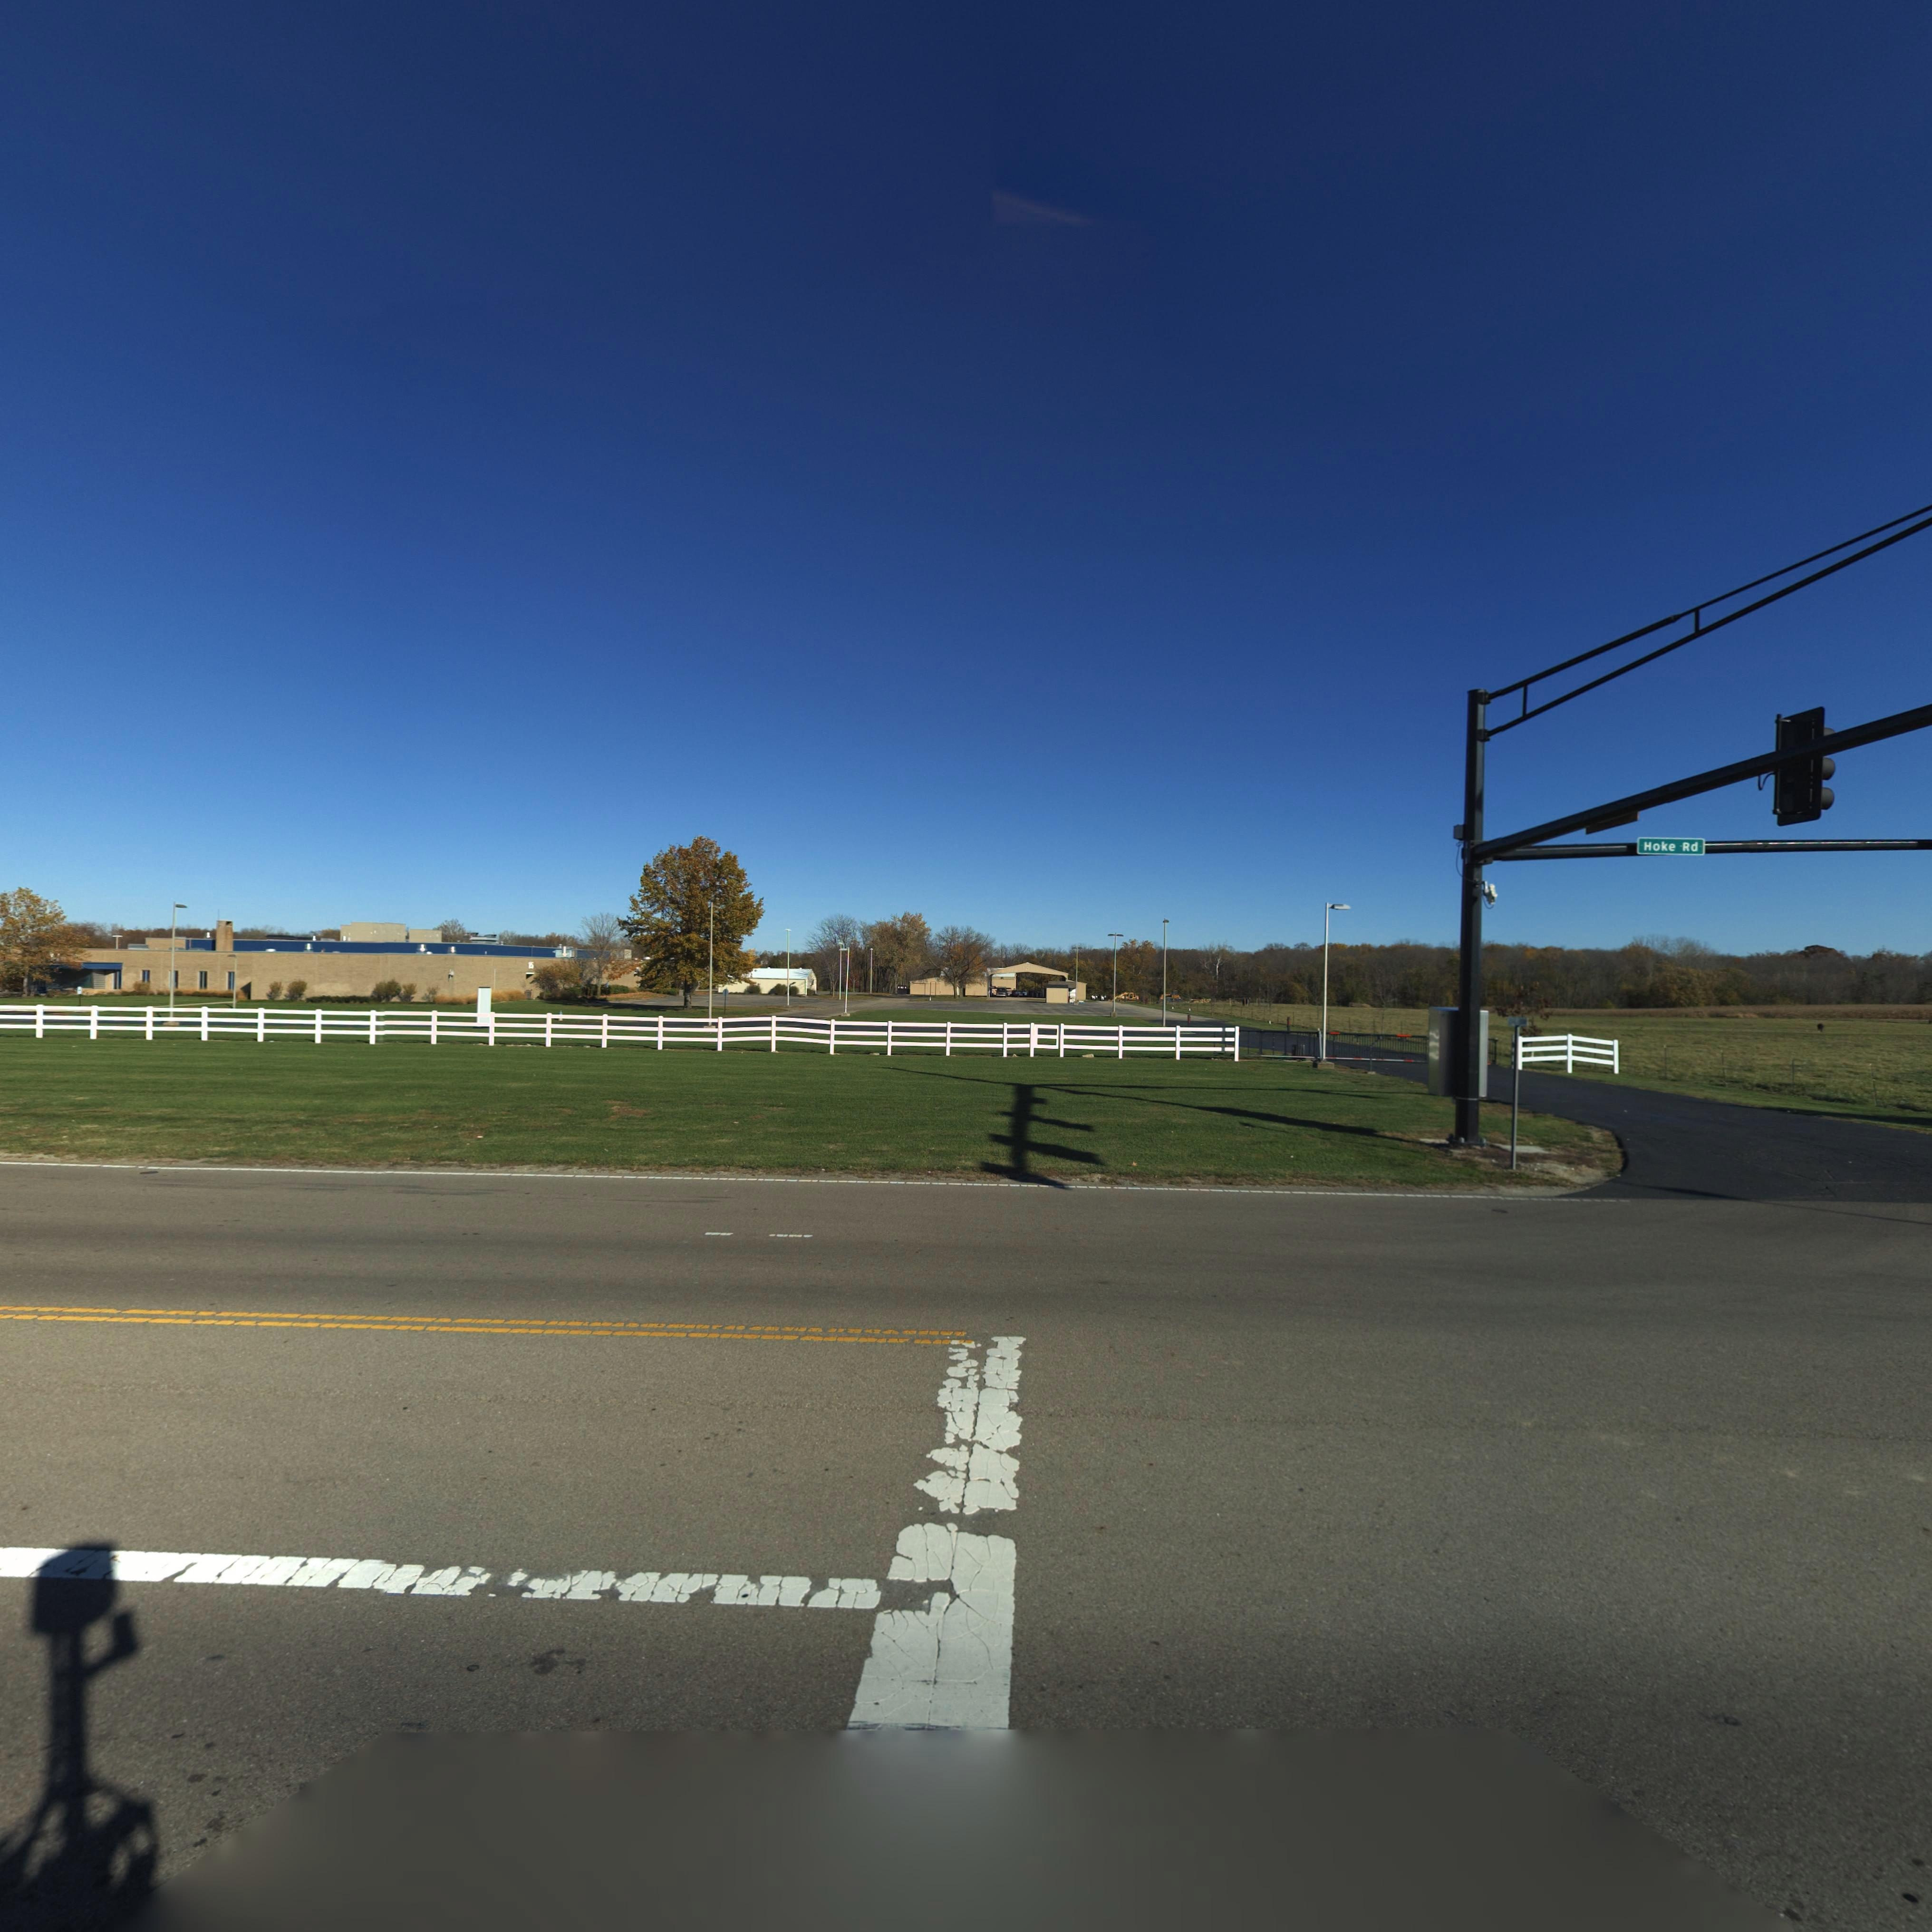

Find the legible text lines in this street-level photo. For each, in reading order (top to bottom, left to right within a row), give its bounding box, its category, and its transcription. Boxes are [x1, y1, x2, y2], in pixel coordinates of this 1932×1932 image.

[528, 962, 534, 969] StreetNumber: 15